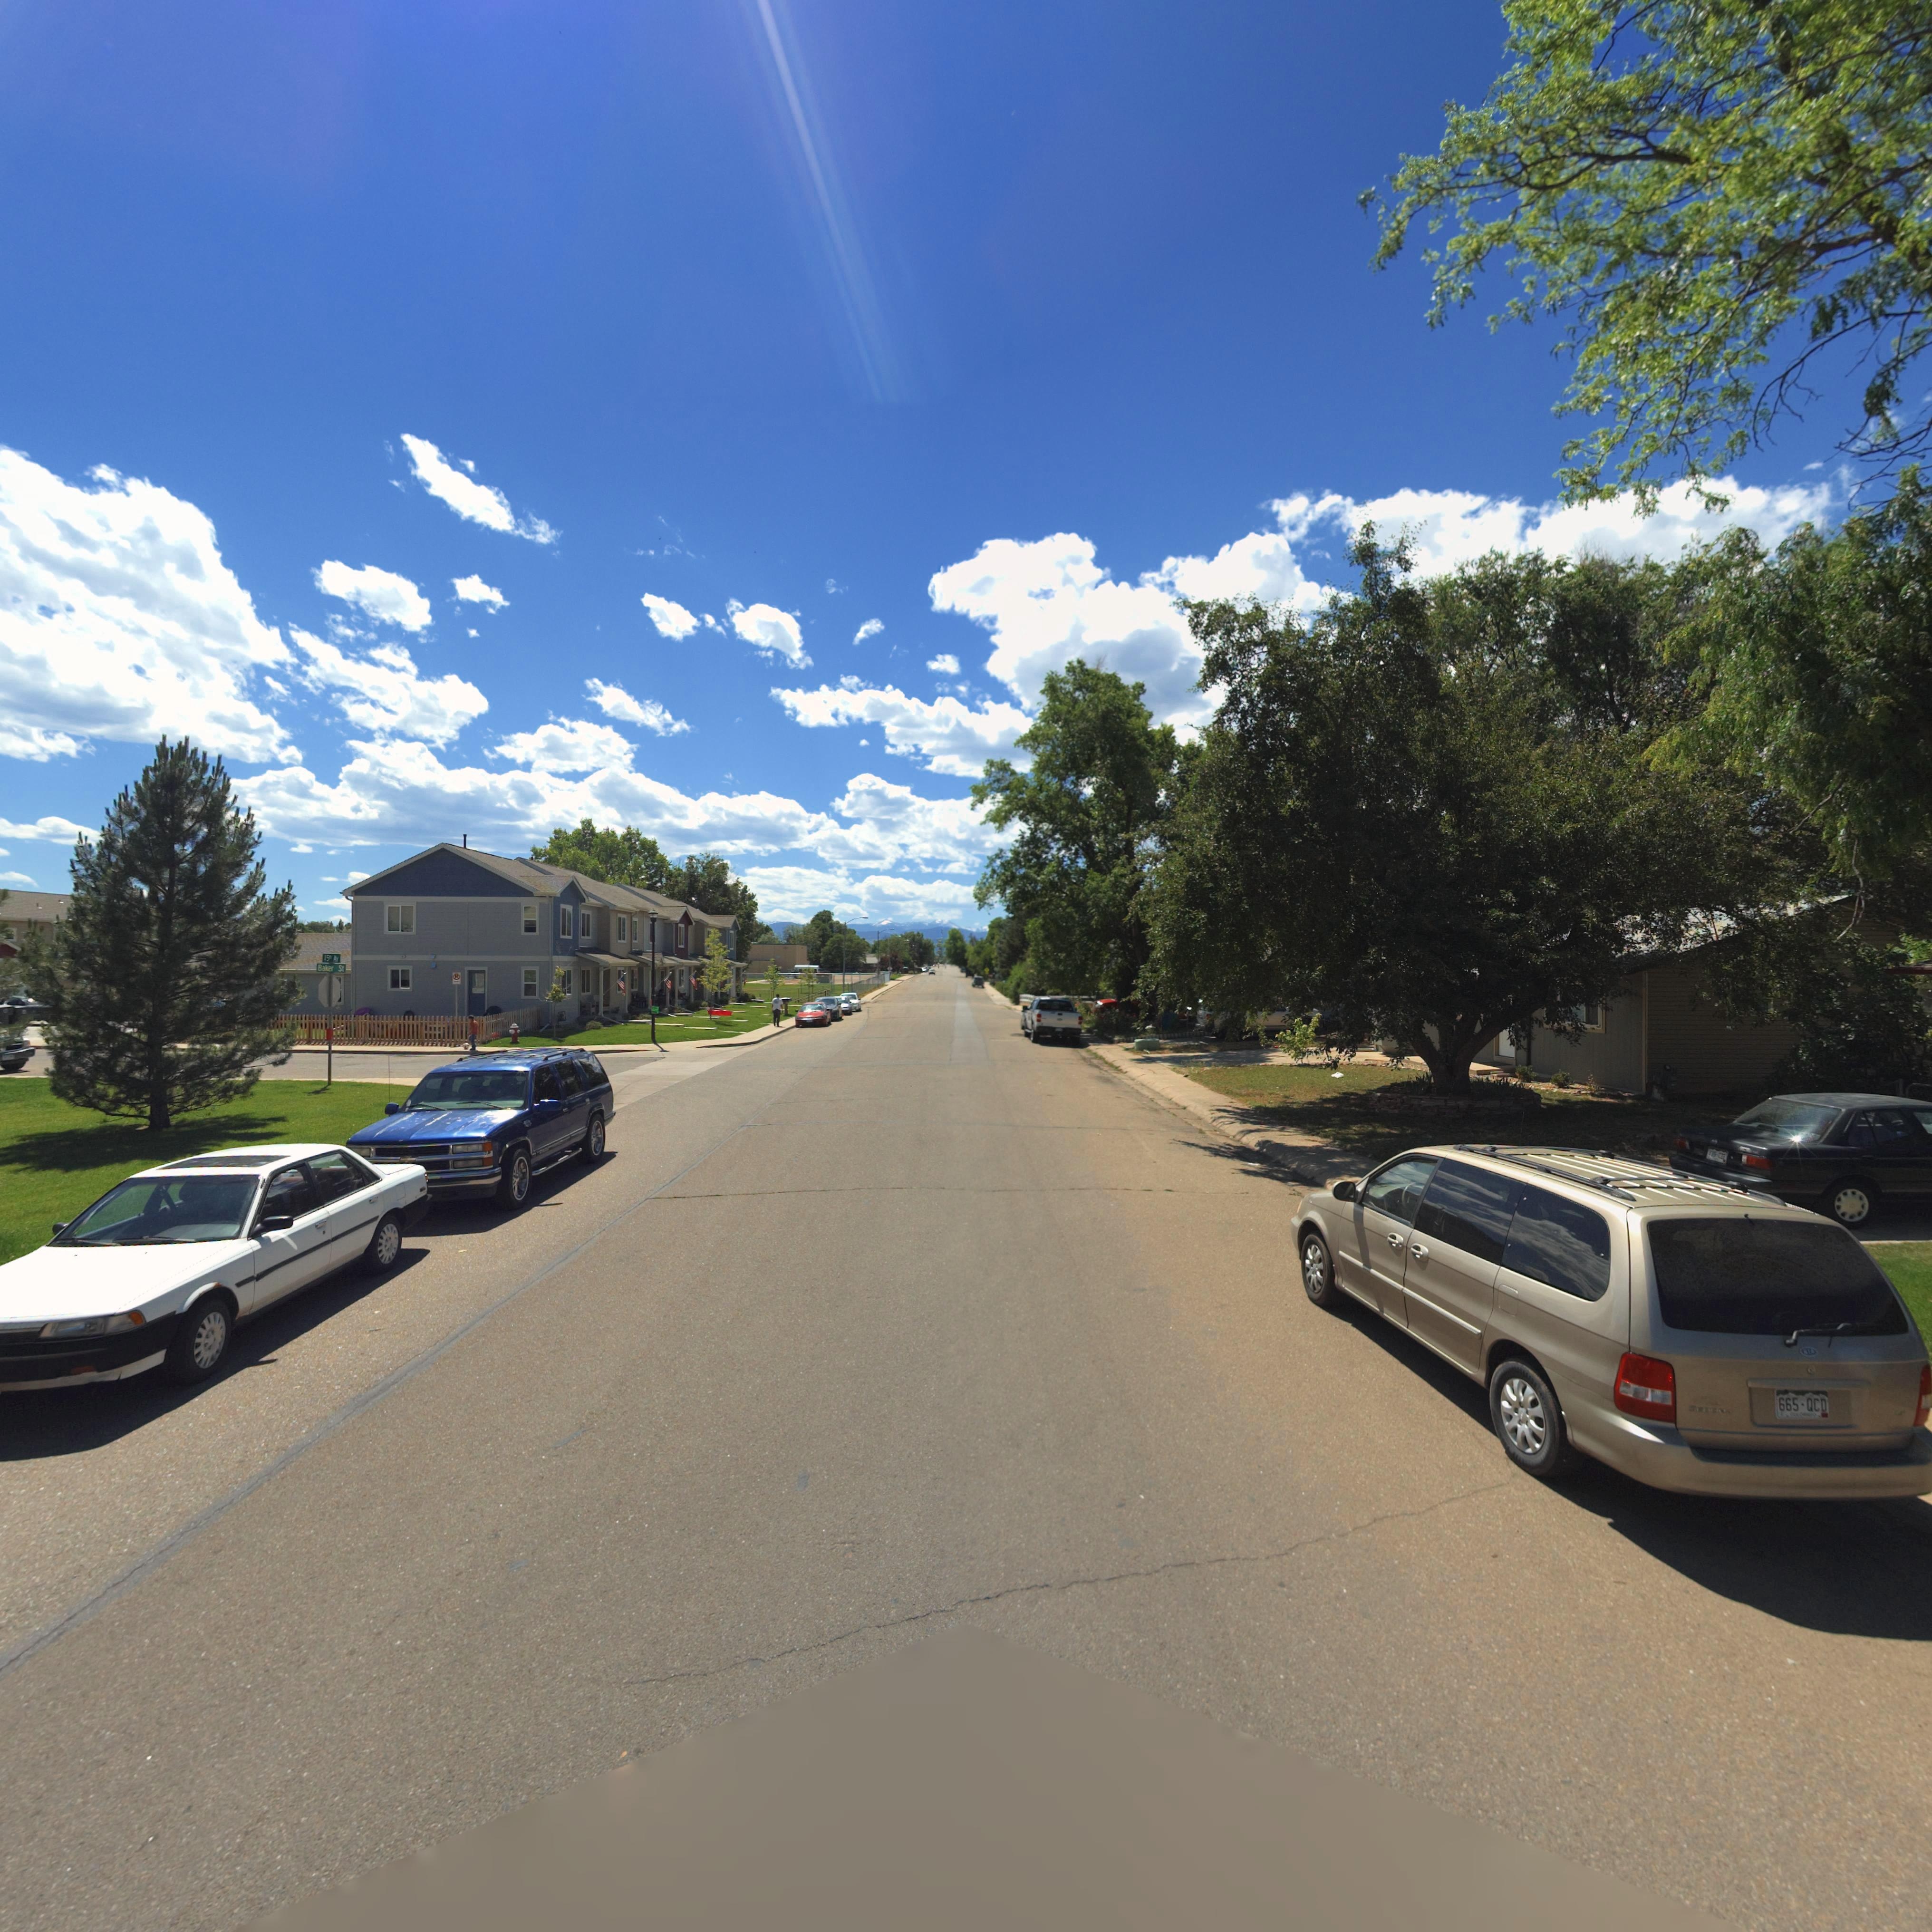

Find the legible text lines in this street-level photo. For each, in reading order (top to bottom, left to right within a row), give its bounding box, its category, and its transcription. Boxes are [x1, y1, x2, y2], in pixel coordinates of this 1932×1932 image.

[324, 954, 339, 962] StreetName: 15th Av
[317, 964, 345, 972] StreetName: Baker St